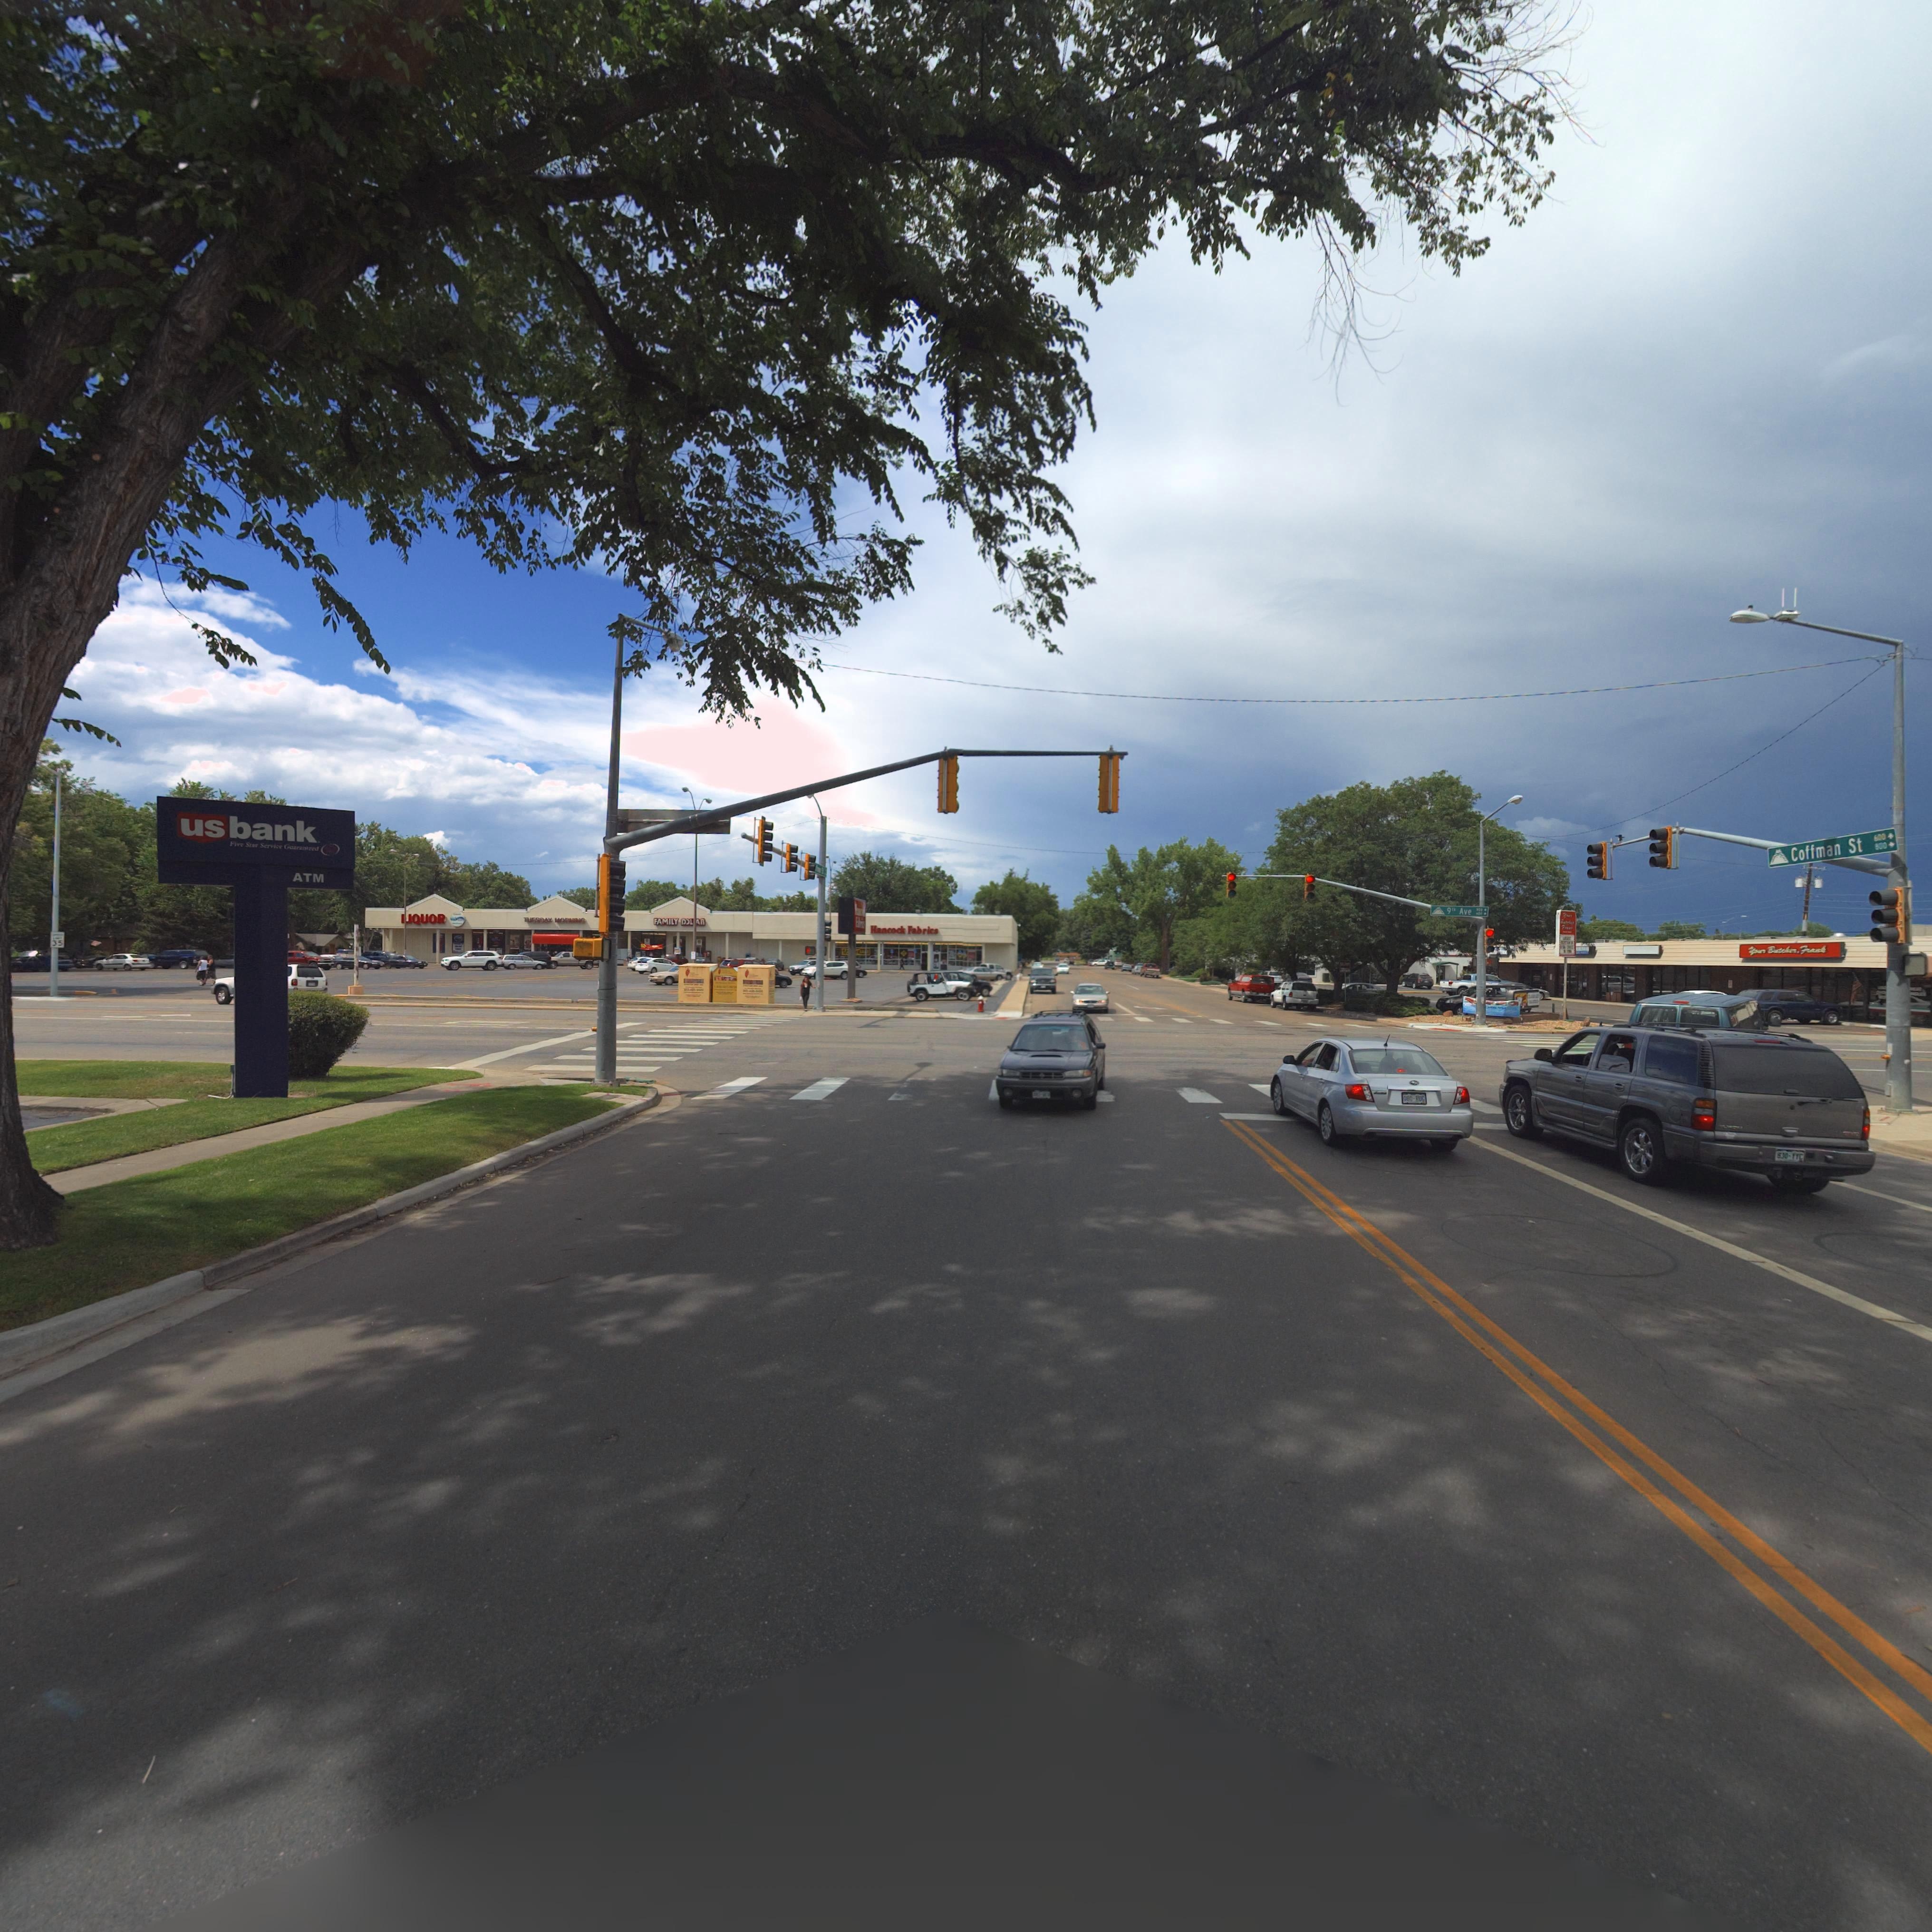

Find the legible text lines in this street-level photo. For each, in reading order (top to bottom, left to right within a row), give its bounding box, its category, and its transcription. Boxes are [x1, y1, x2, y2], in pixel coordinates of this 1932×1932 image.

[181, 816, 317, 842] BusinessName: usbank
[1873, 833, 1886, 841] StreetNumberRange: 600
[1791, 836, 1863, 861] StreetName: Coffman St
[1874, 840, 1895, 850] StreetNumberRange: 800 ->
[1447, 907, 1471, 914] StreetName: 9th Ave
[523, 917, 585, 924] BusinessName: TU**DAY MO****G
[654, 918, 705, 925] BusinessName: FAMILY DOLLAR
[870, 926, 938, 934] BusinessName: Hancock Fabrics
[1748, 945, 1826, 956] BusinessName: Your Butcher, Frank